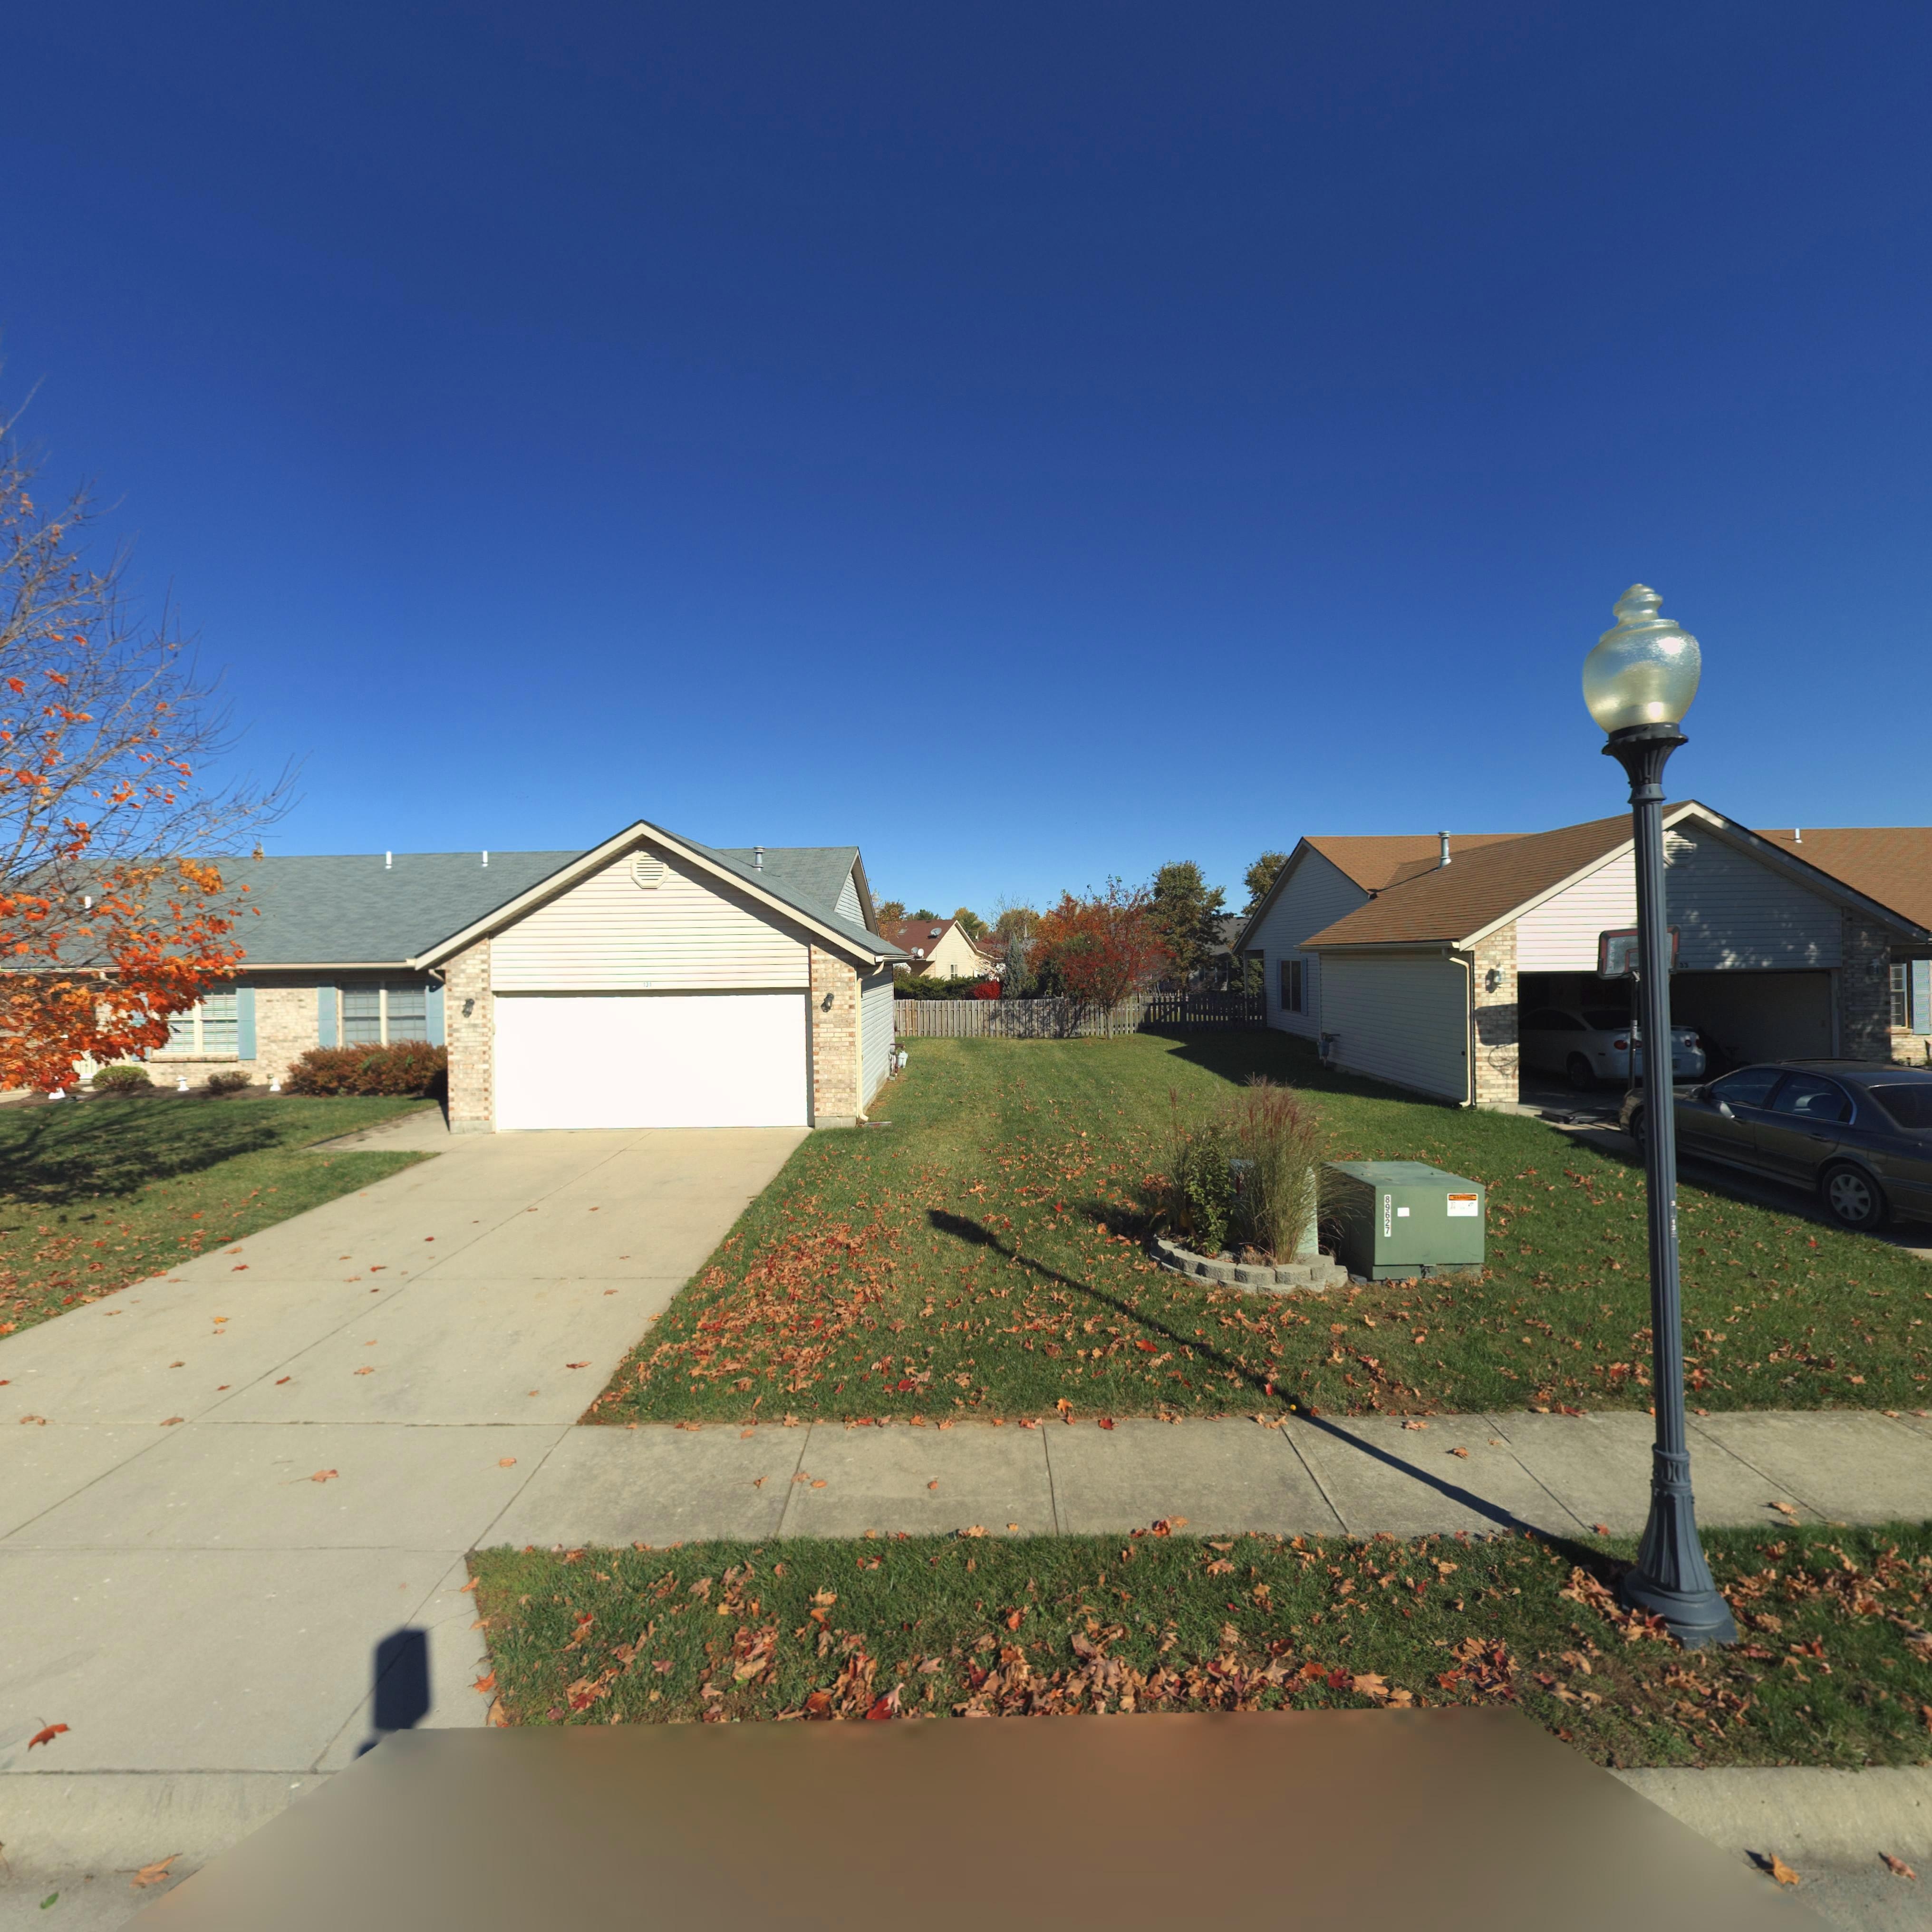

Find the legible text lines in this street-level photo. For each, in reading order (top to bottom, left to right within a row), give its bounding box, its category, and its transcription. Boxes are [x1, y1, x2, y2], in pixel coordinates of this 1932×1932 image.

[1679, 962, 1689, 968] StreetNumber: 33
[643, 981, 651, 987] StreetNumber: 131
[1384, 1195, 1391, 1235] None: 89627